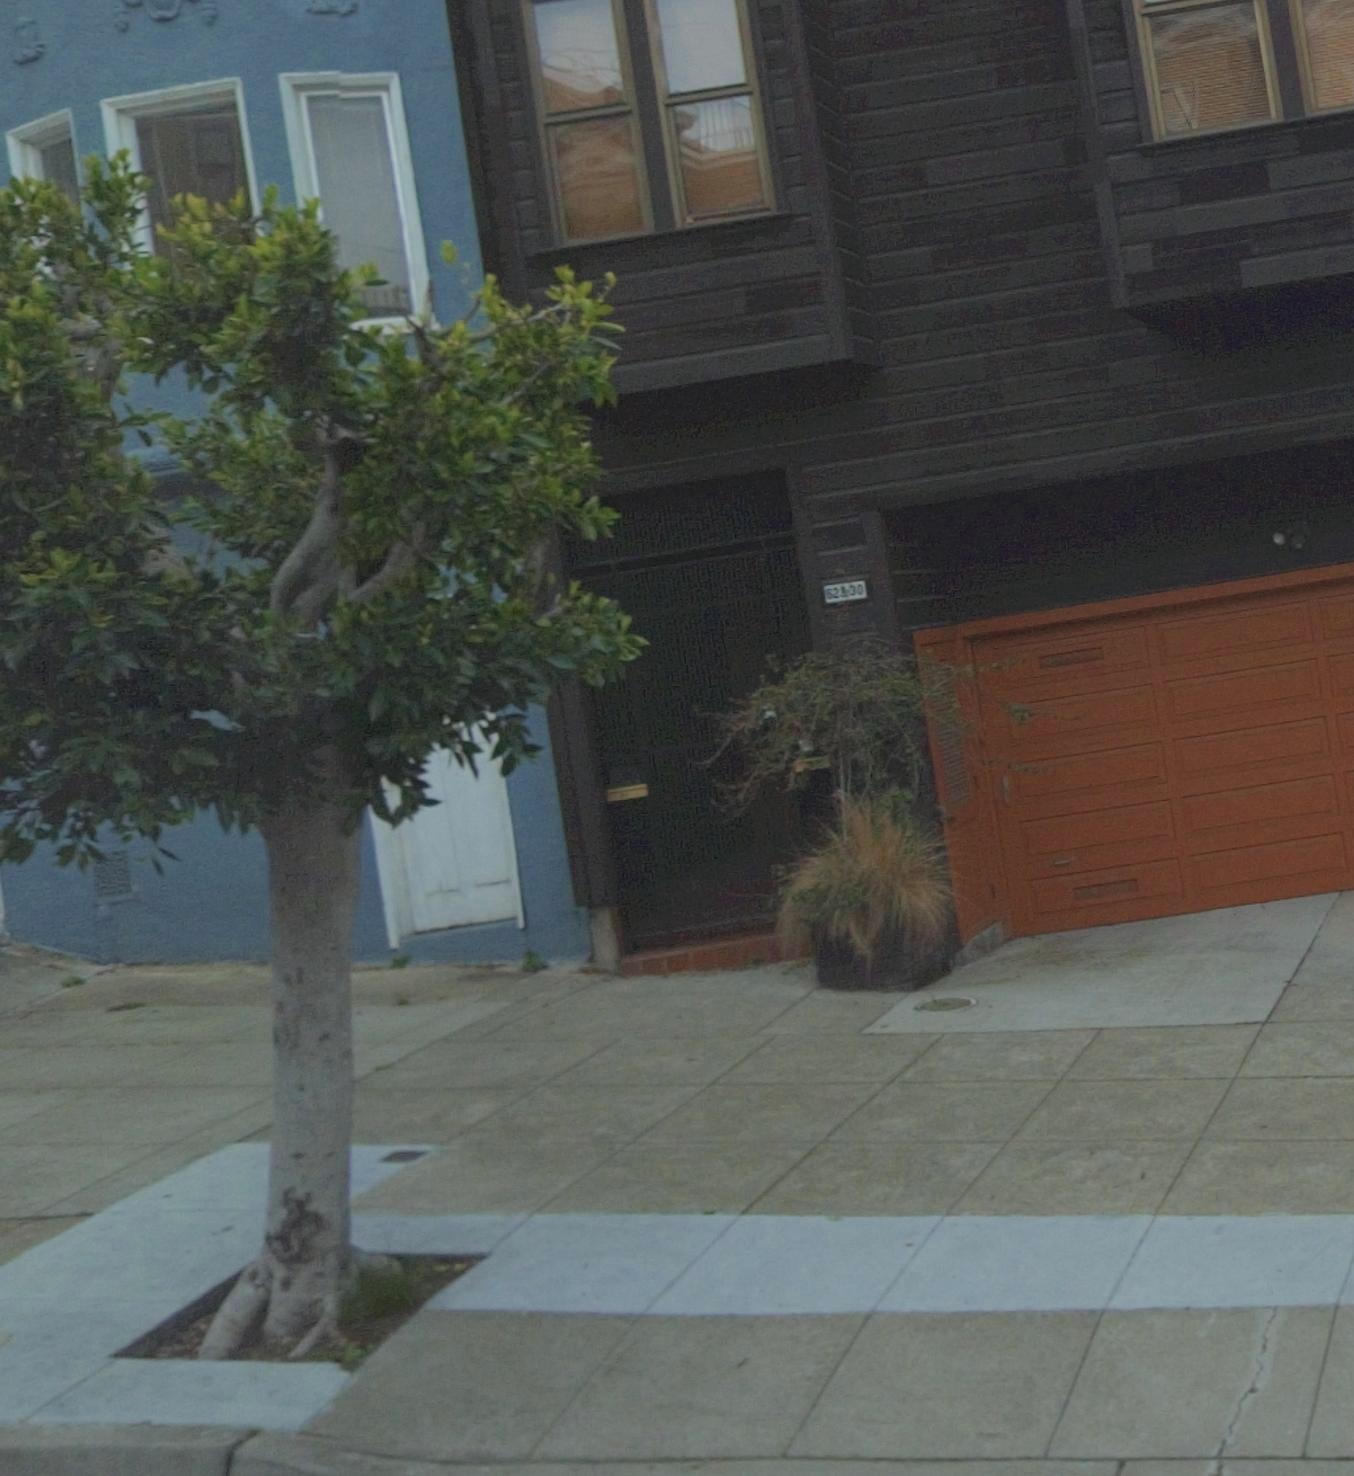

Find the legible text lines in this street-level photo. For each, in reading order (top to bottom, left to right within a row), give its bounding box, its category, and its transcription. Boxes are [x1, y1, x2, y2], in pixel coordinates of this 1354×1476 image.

[825, 586, 848, 600] StreetNumber: 628
[848, 583, 865, 597] StreetNumber: 30